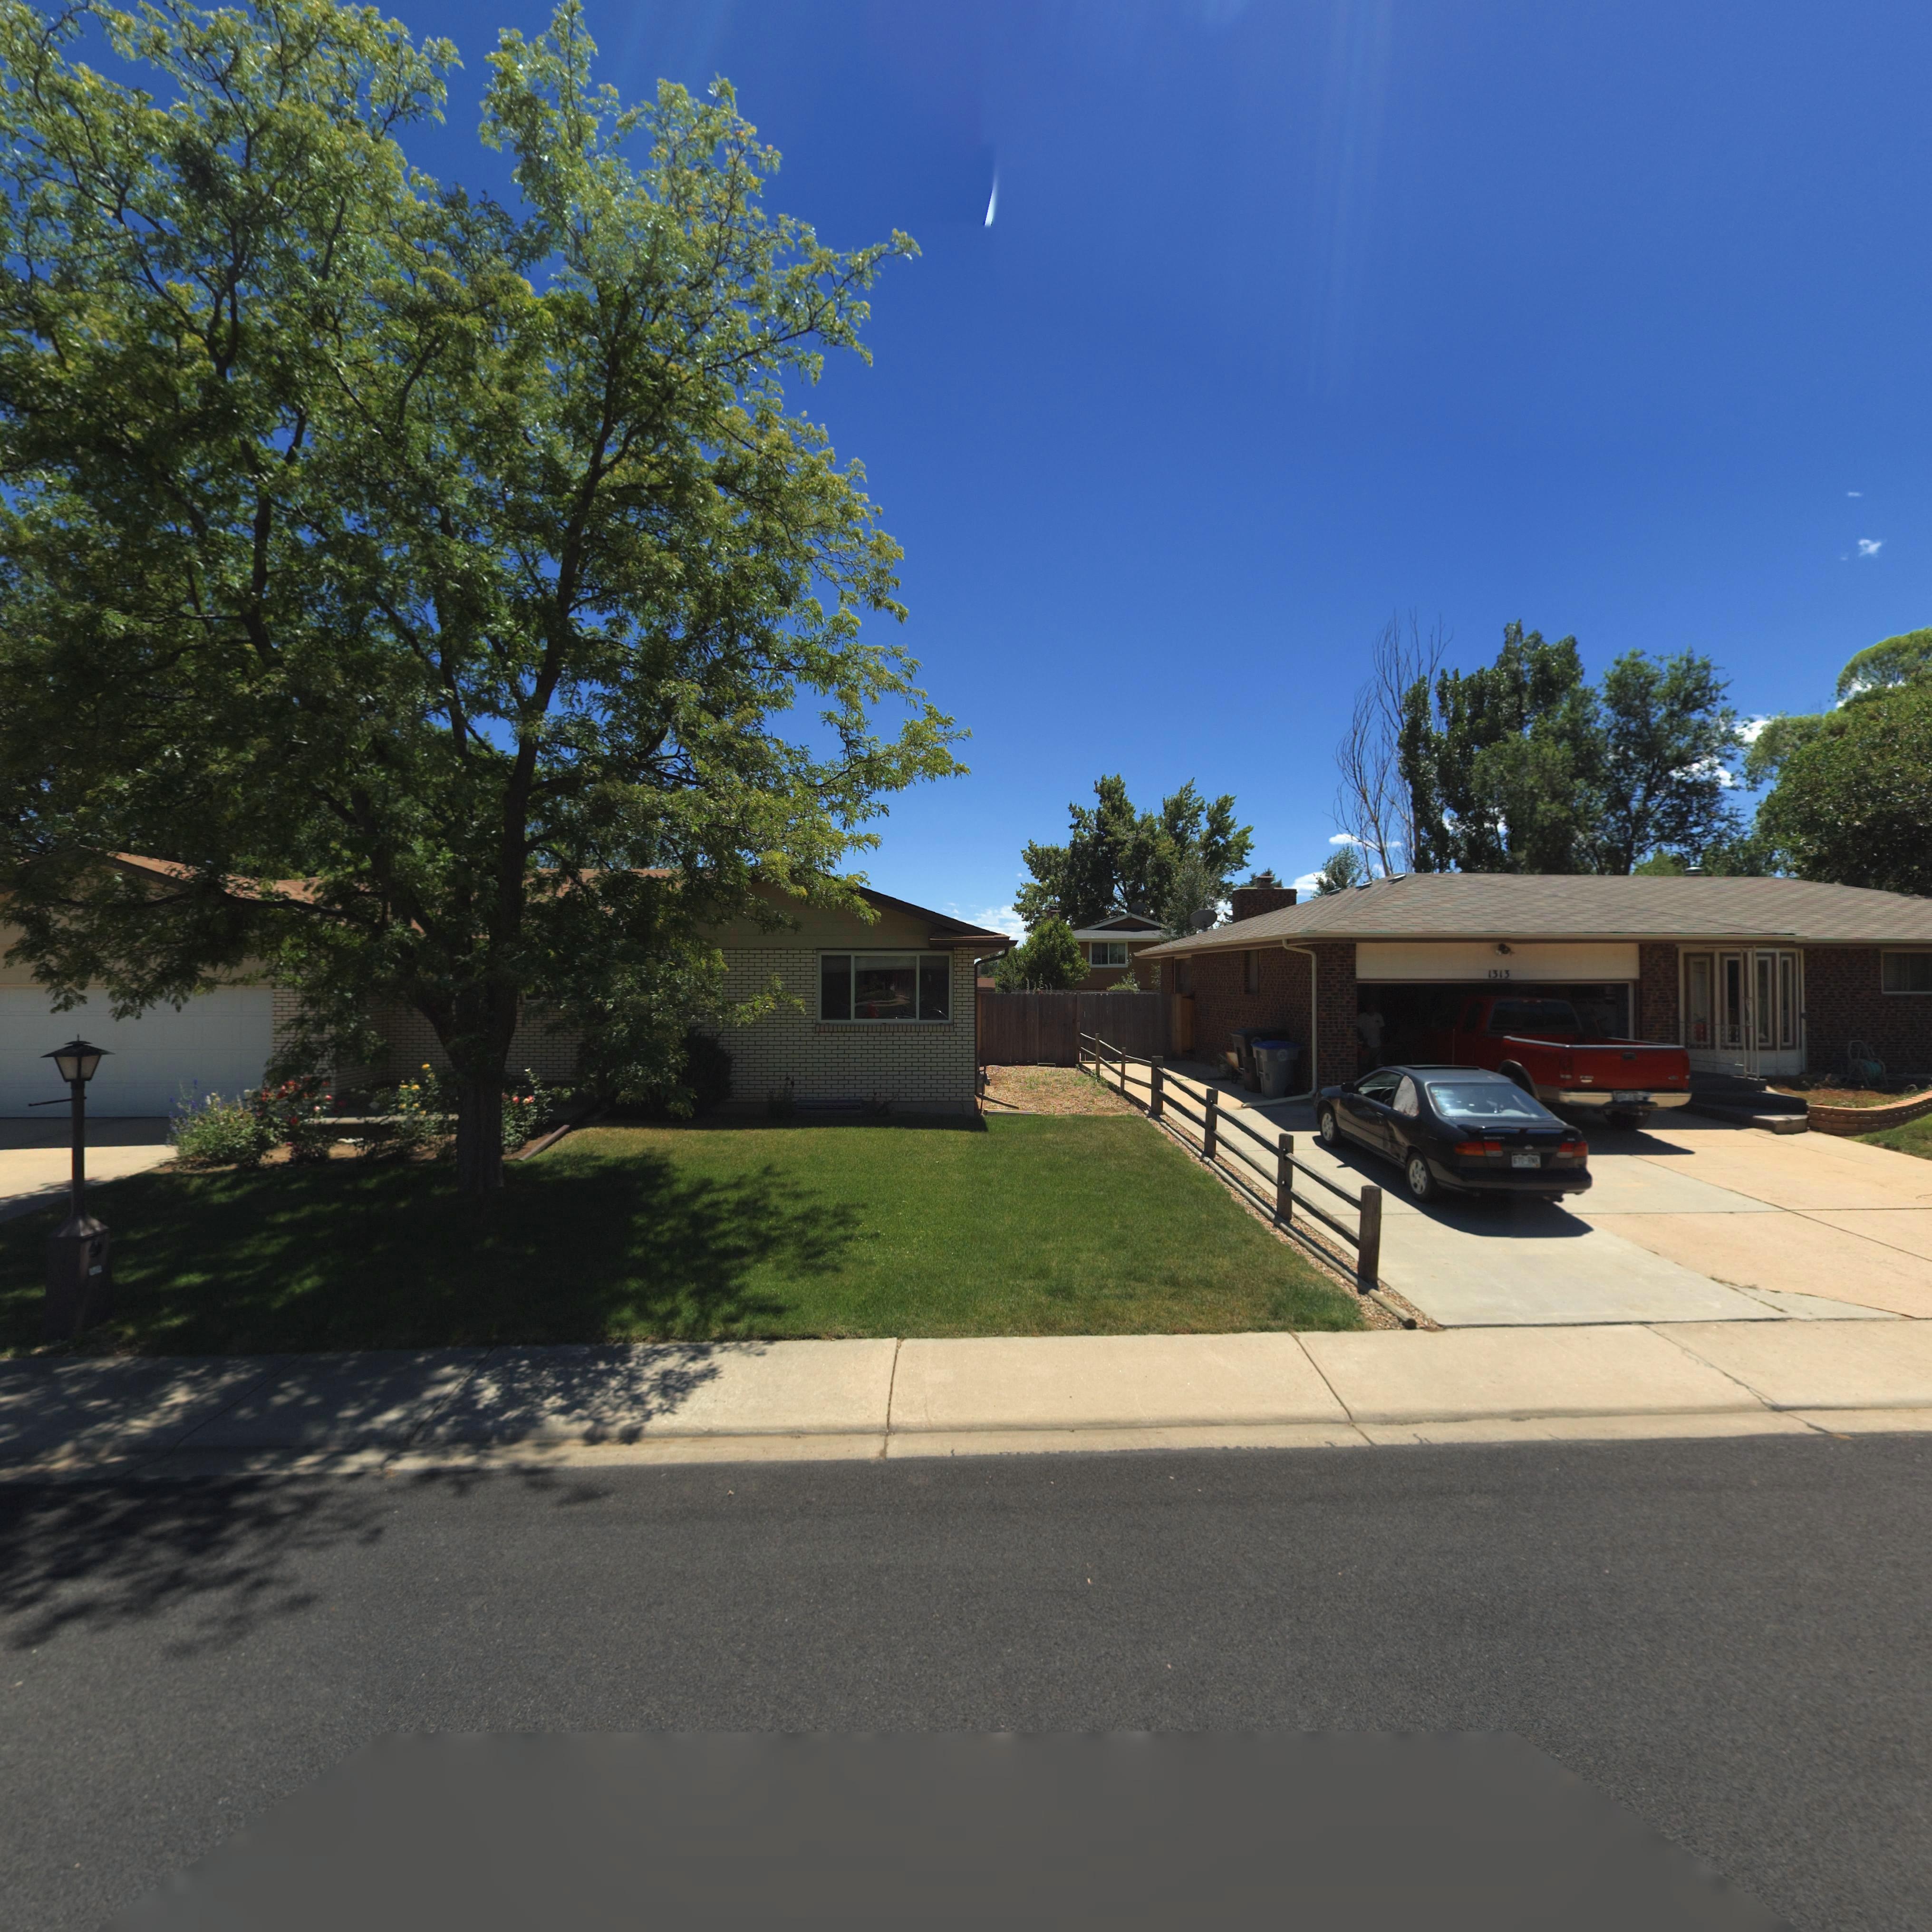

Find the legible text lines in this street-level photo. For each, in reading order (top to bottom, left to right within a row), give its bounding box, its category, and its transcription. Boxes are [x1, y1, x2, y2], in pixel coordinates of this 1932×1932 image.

[1488, 968, 1509, 978] StreetNumber: 1313